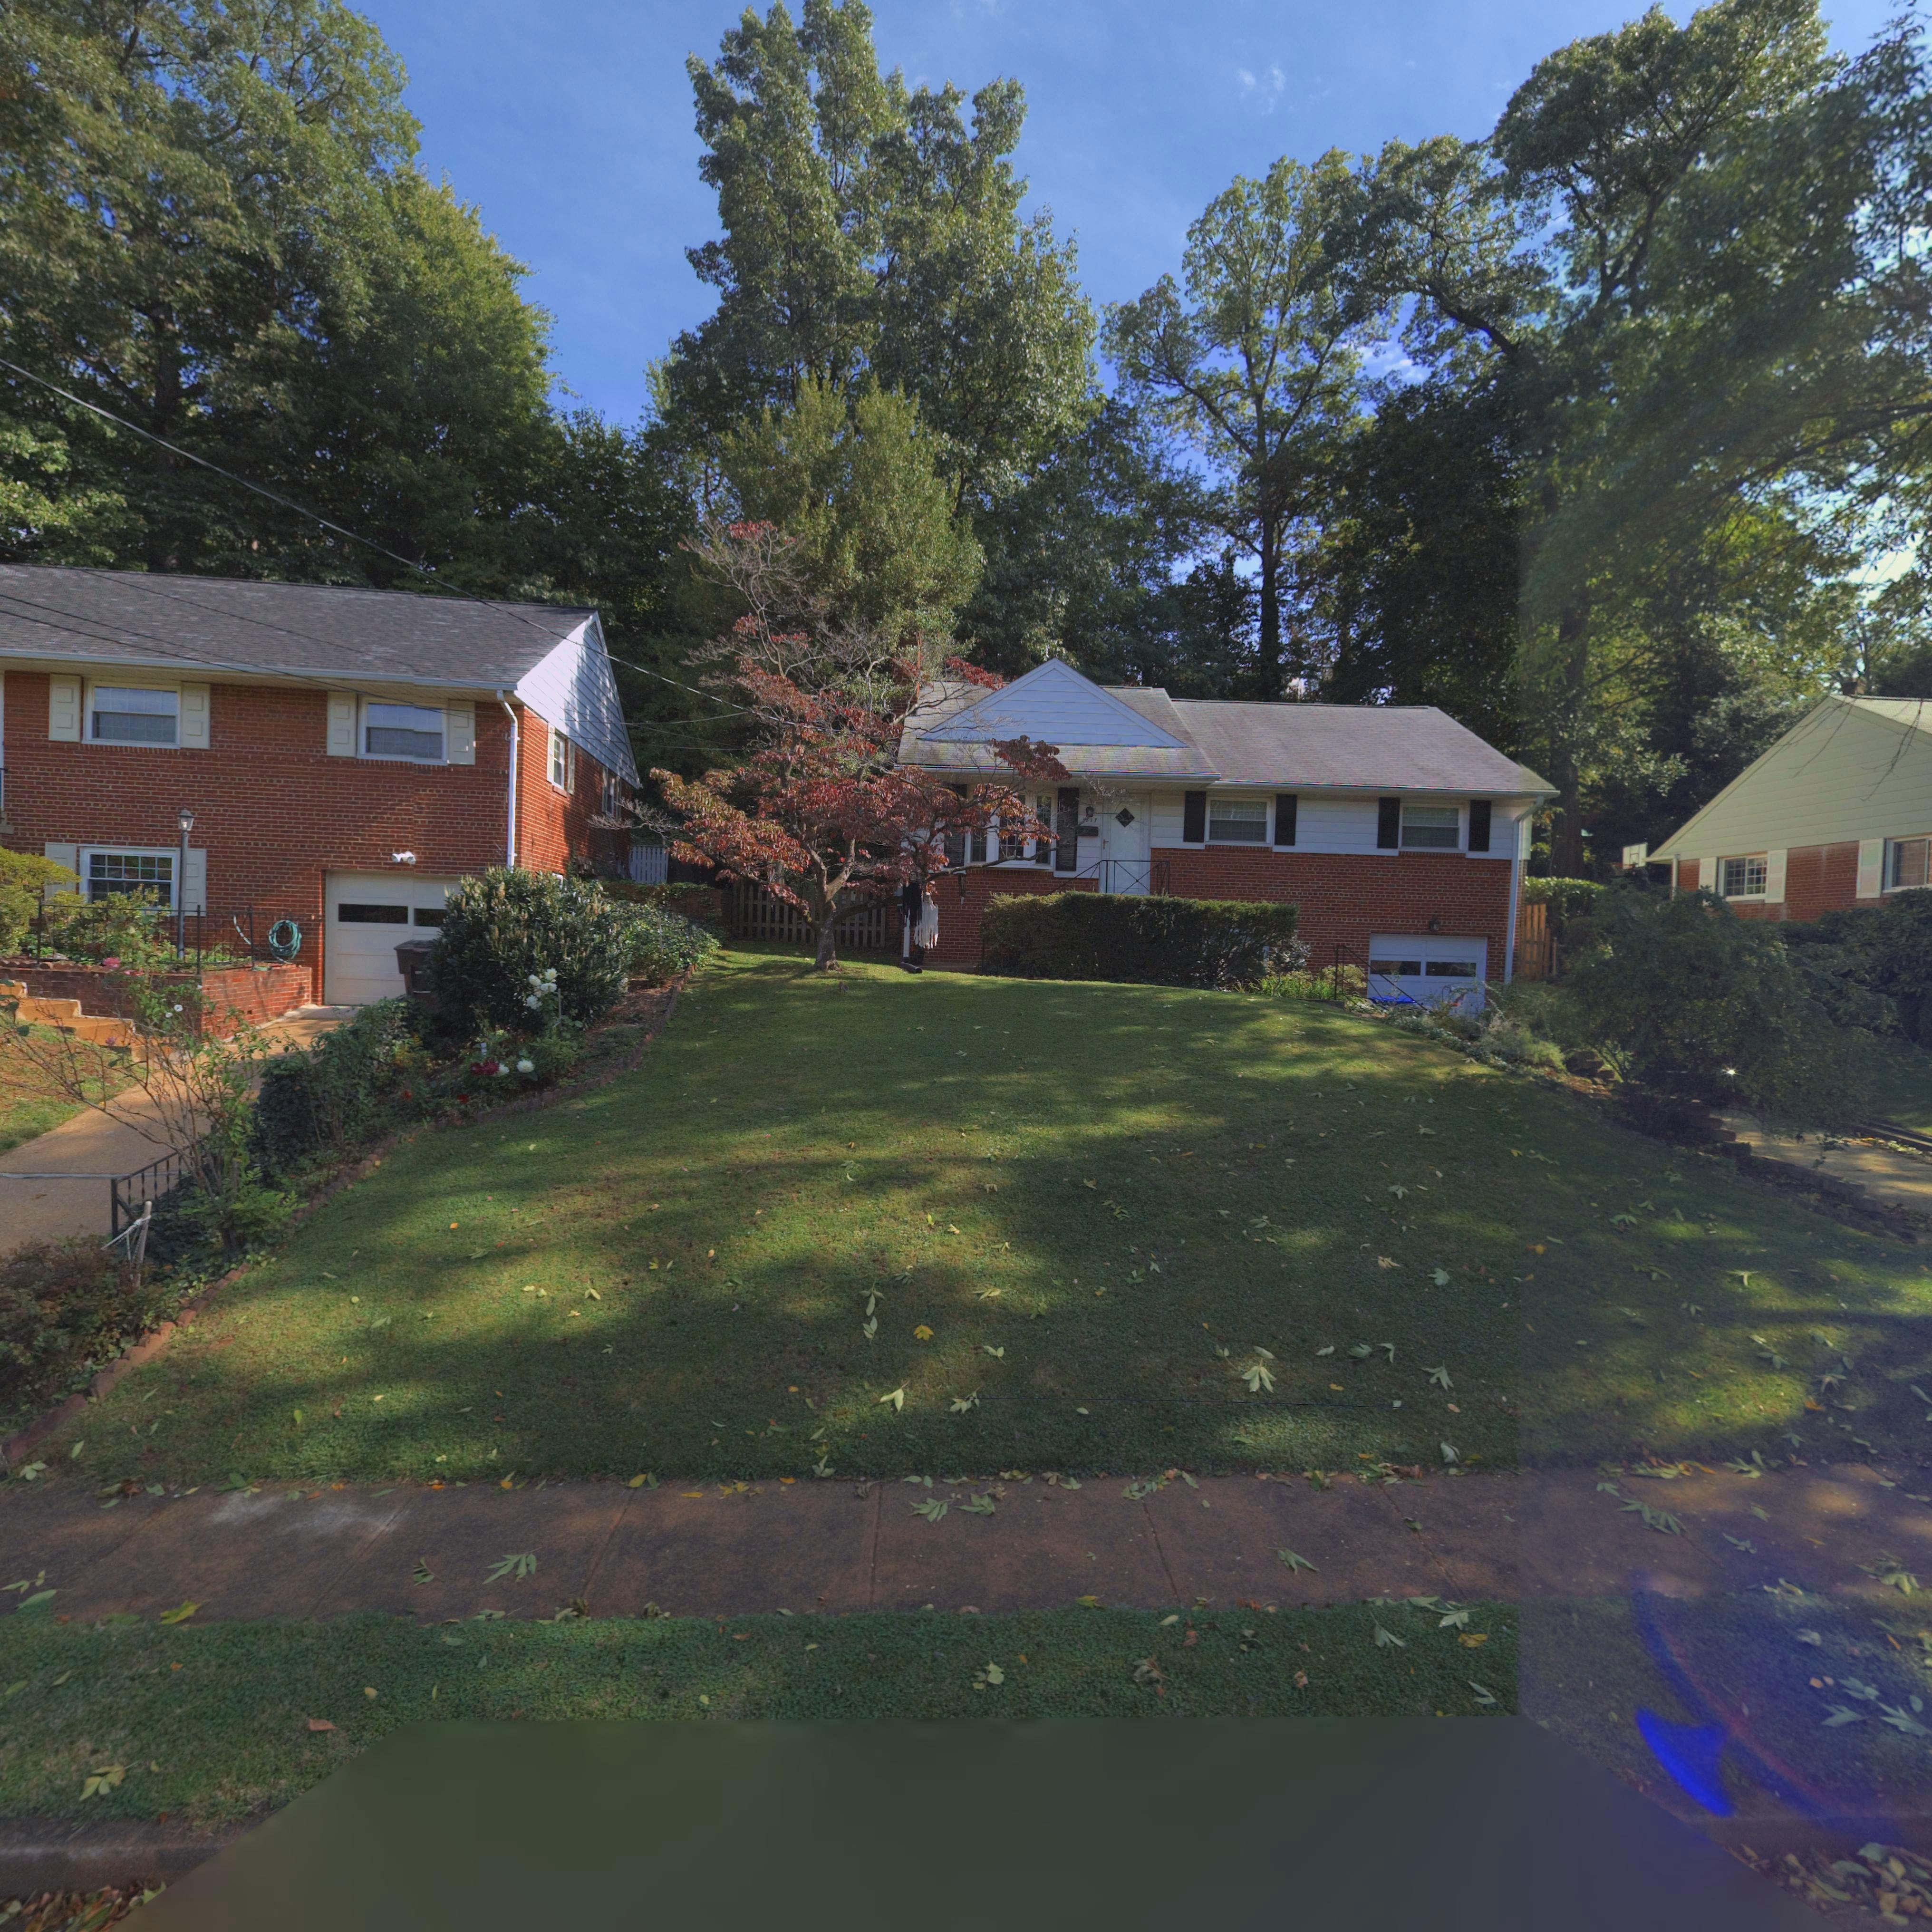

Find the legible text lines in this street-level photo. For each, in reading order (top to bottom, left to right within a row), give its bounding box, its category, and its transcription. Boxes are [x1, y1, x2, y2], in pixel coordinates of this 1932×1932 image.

[1081, 818, 1098, 823] StreetNumber: **17